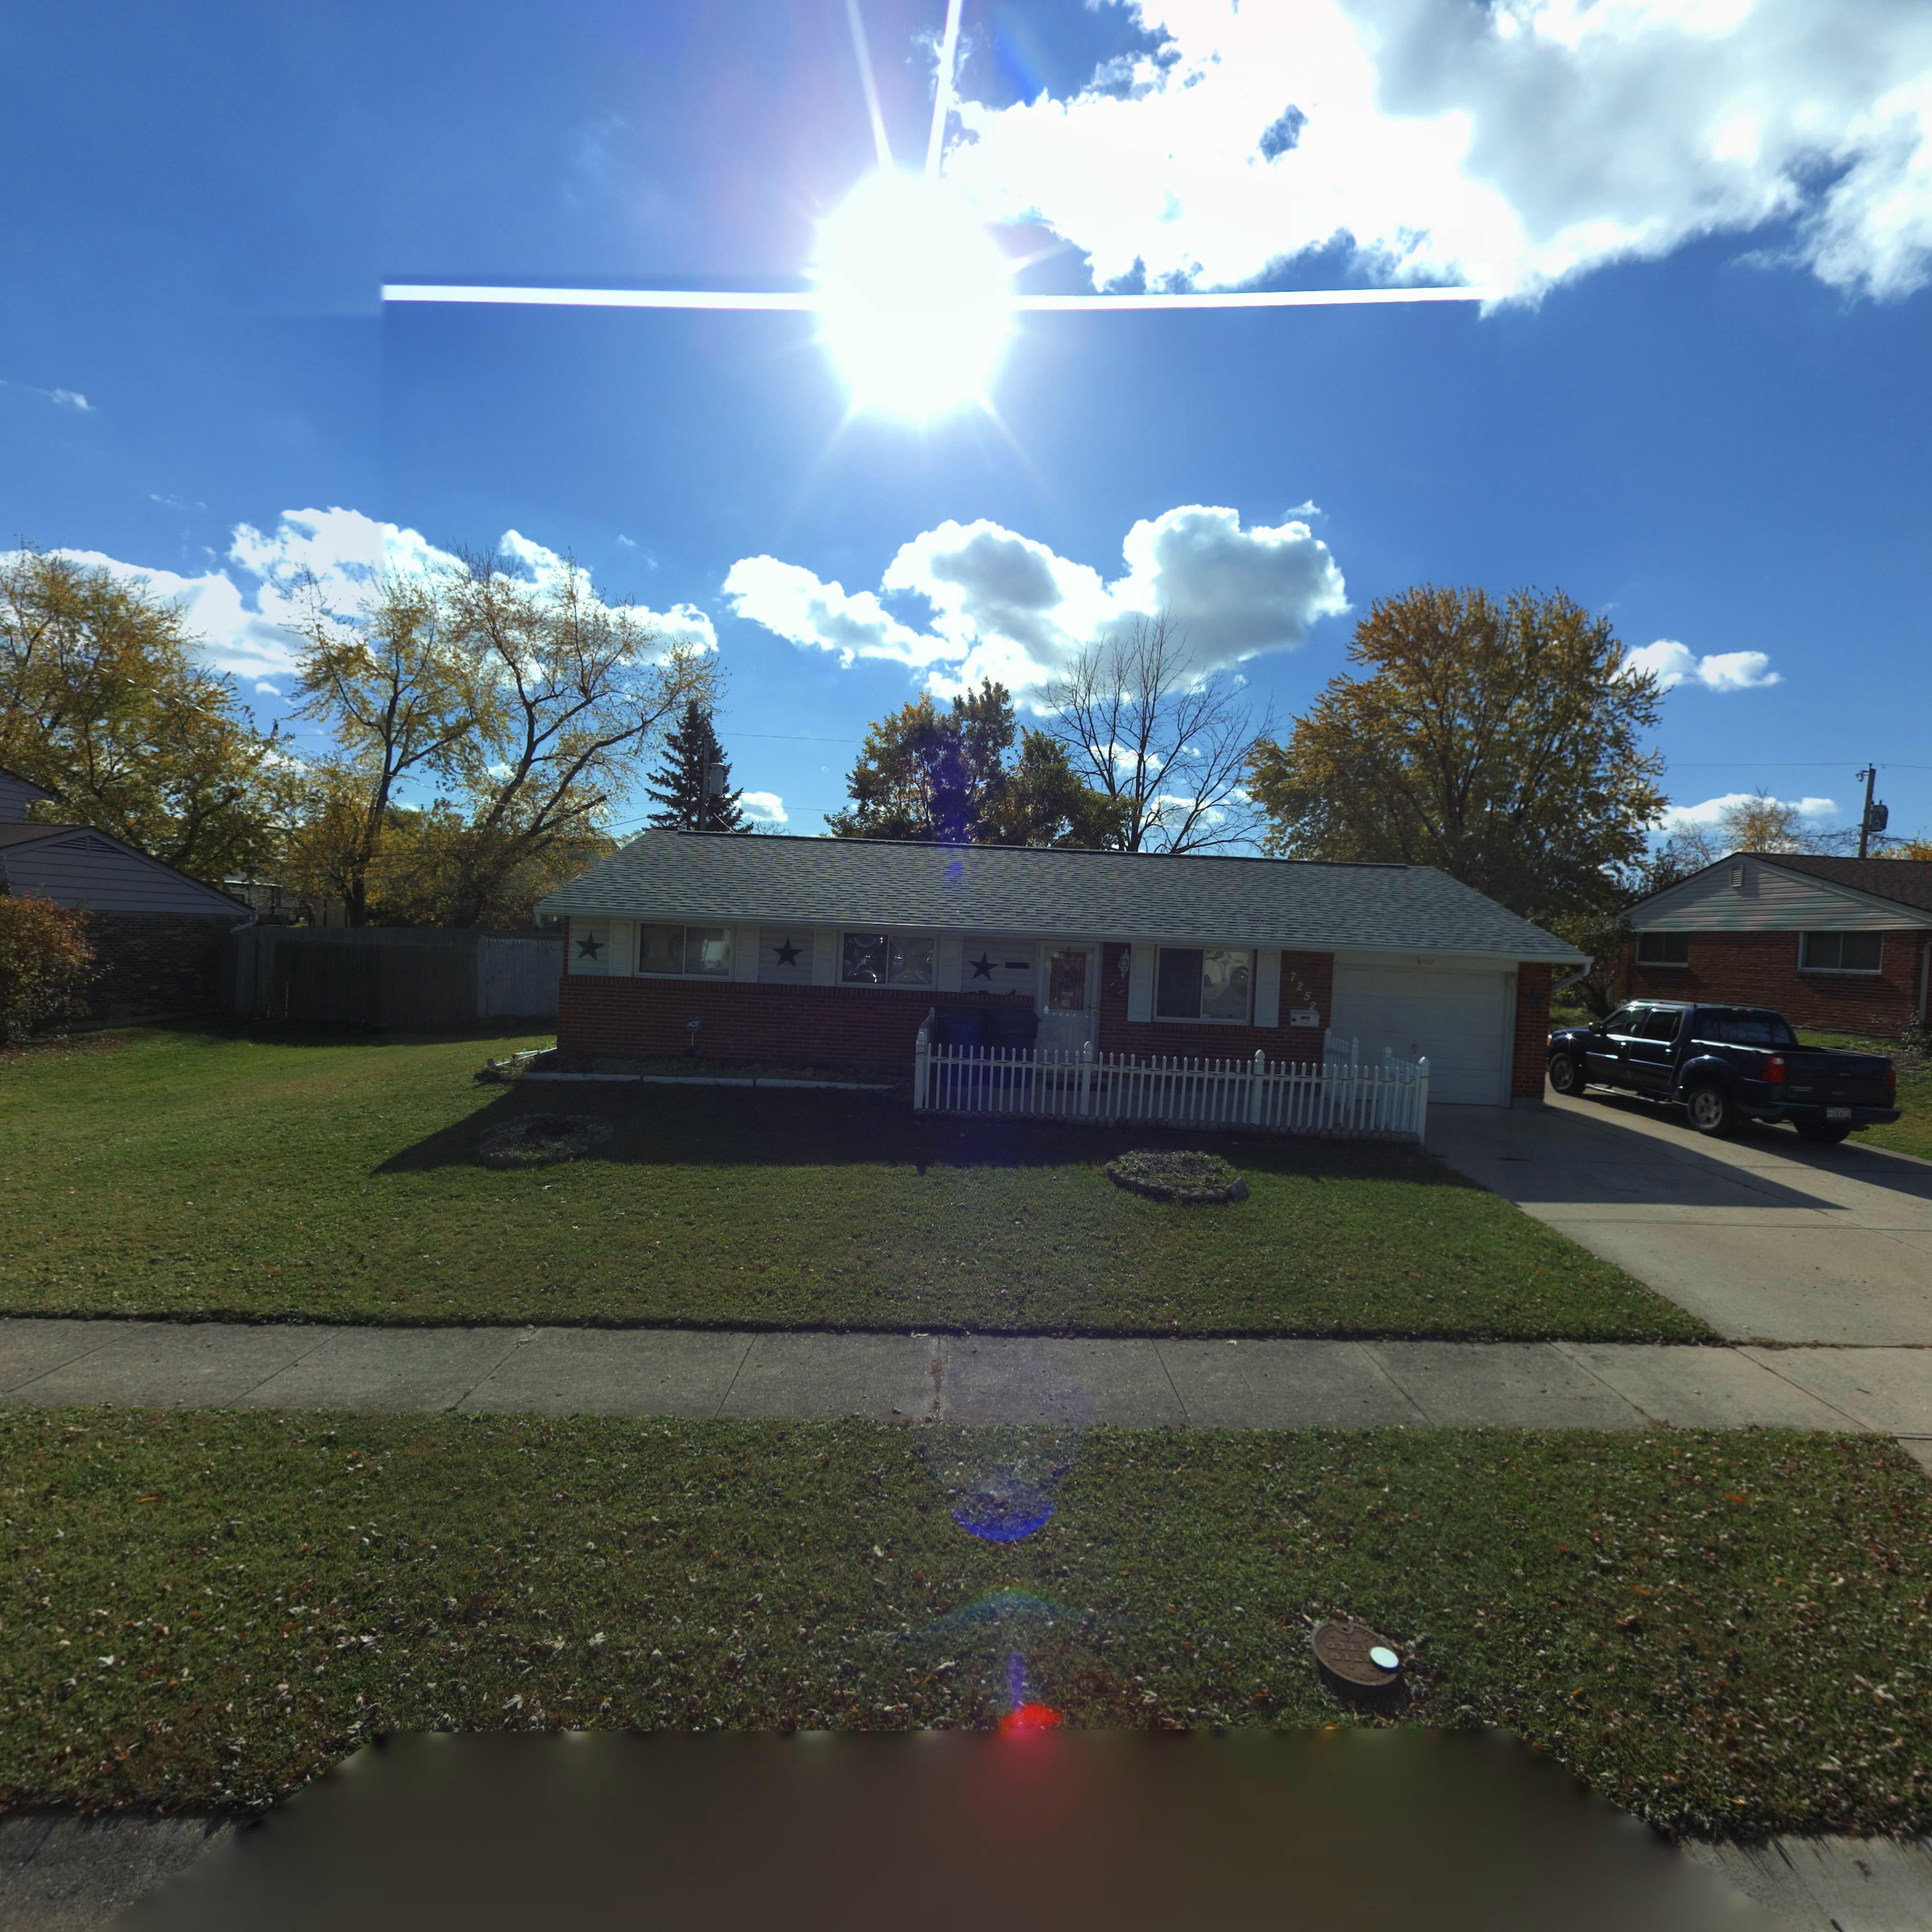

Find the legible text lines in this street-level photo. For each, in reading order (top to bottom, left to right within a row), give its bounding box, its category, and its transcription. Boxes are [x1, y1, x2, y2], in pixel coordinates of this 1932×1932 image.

[1289, 971, 1318, 1012] StreetNumber: 7252